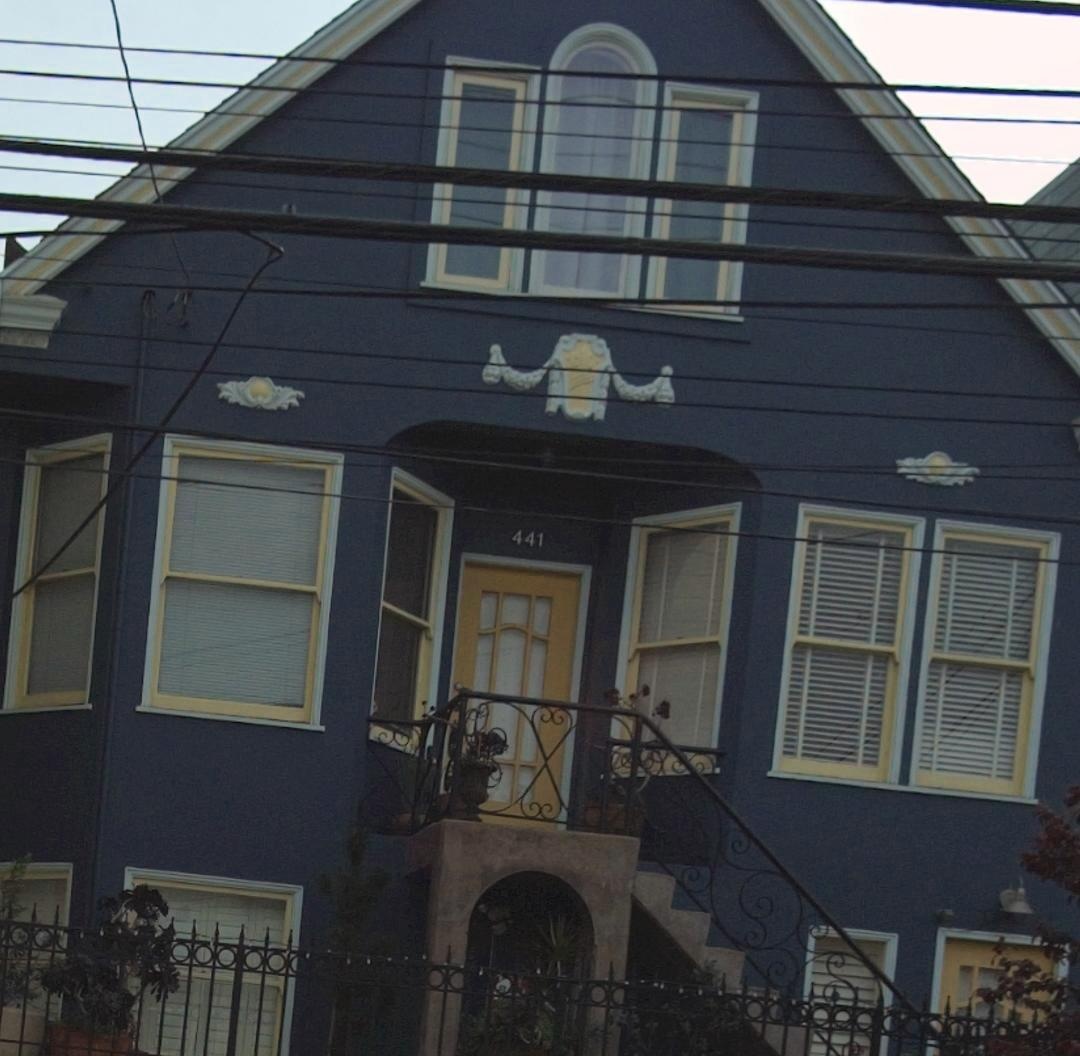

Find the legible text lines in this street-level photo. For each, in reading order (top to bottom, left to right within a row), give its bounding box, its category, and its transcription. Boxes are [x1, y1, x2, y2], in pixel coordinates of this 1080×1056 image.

[508, 528, 545, 549] StreetNumber: 441